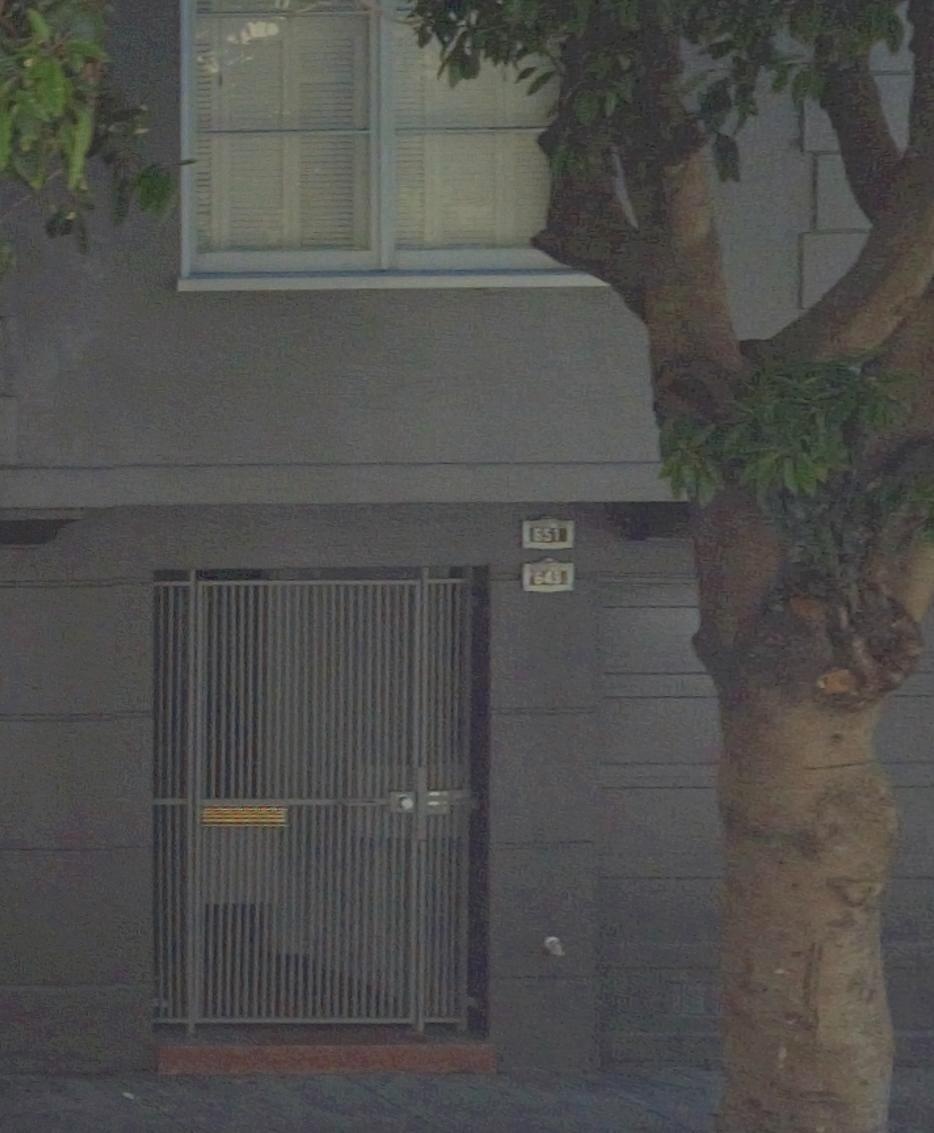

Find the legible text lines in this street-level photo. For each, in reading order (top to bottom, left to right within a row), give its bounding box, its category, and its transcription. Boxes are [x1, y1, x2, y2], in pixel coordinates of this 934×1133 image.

[533, 527, 562, 542] StreetNumber: 651
[533, 570, 563, 586] StreetNumber: 64*